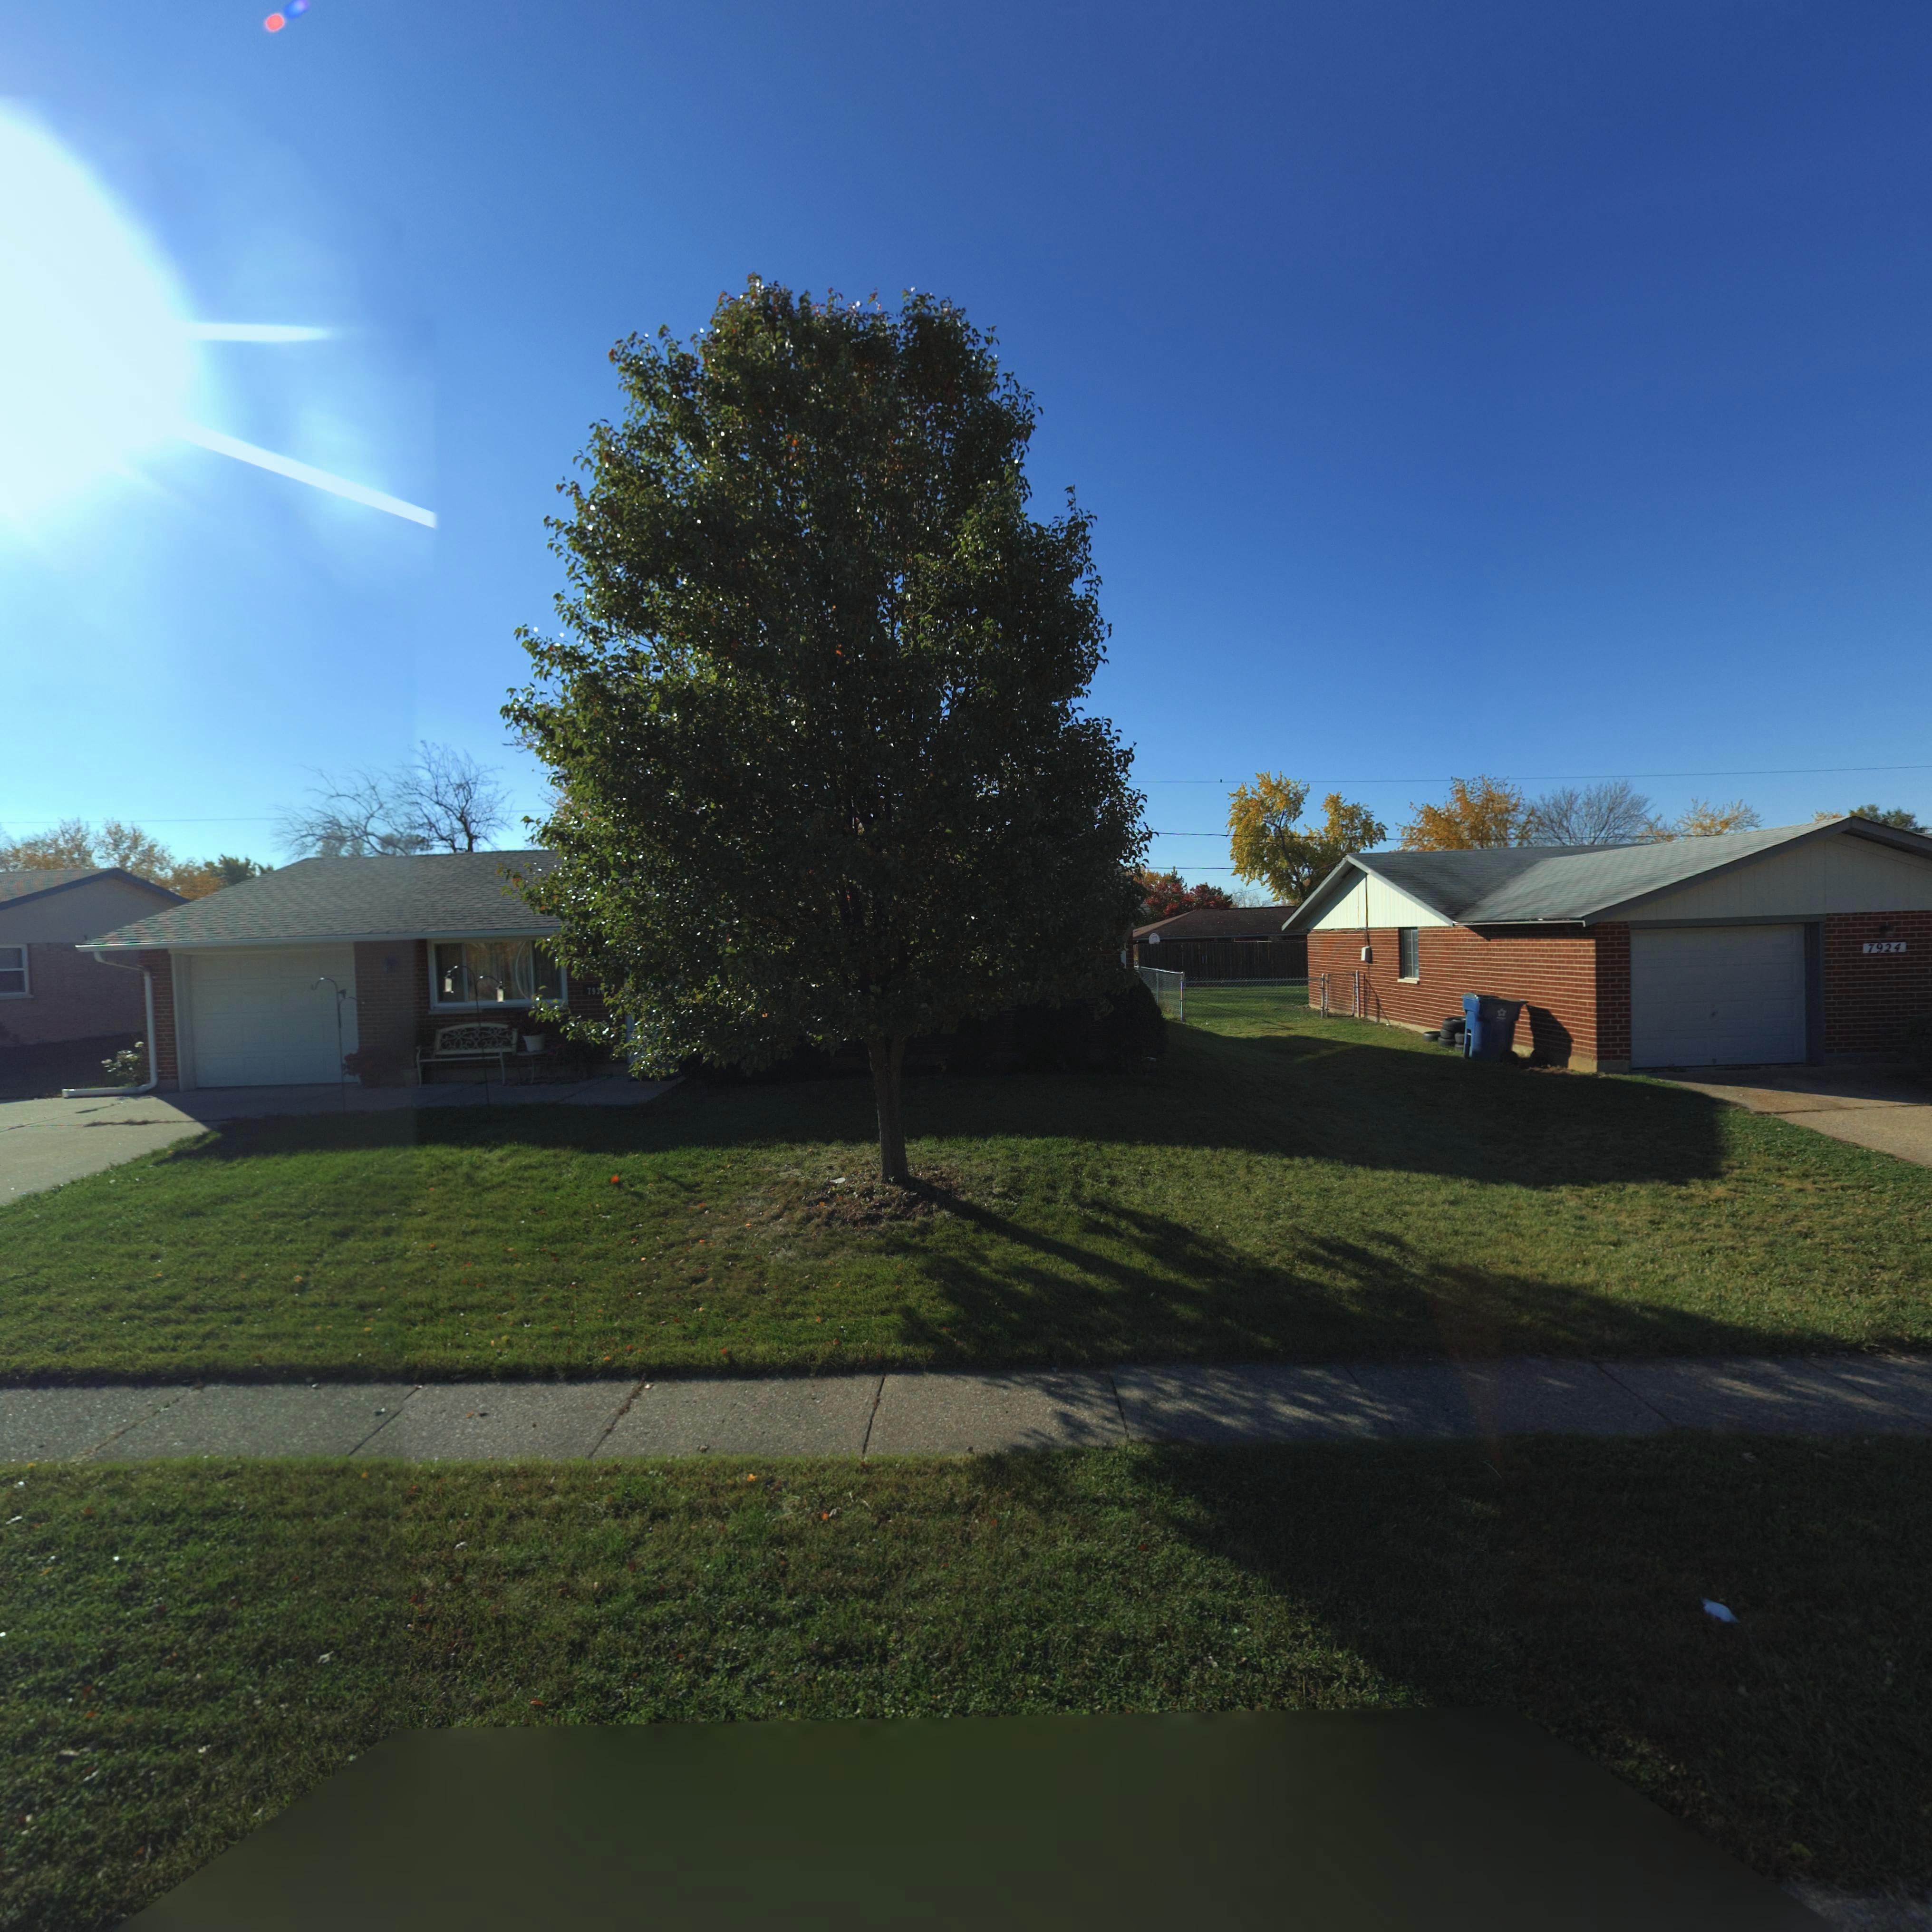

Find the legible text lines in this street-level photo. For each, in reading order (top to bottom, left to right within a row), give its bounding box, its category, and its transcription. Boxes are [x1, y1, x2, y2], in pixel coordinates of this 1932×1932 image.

[1867, 942, 1902, 954] StreetNumber: 7924
[587, 986, 601, 995] StreetNumber: 793